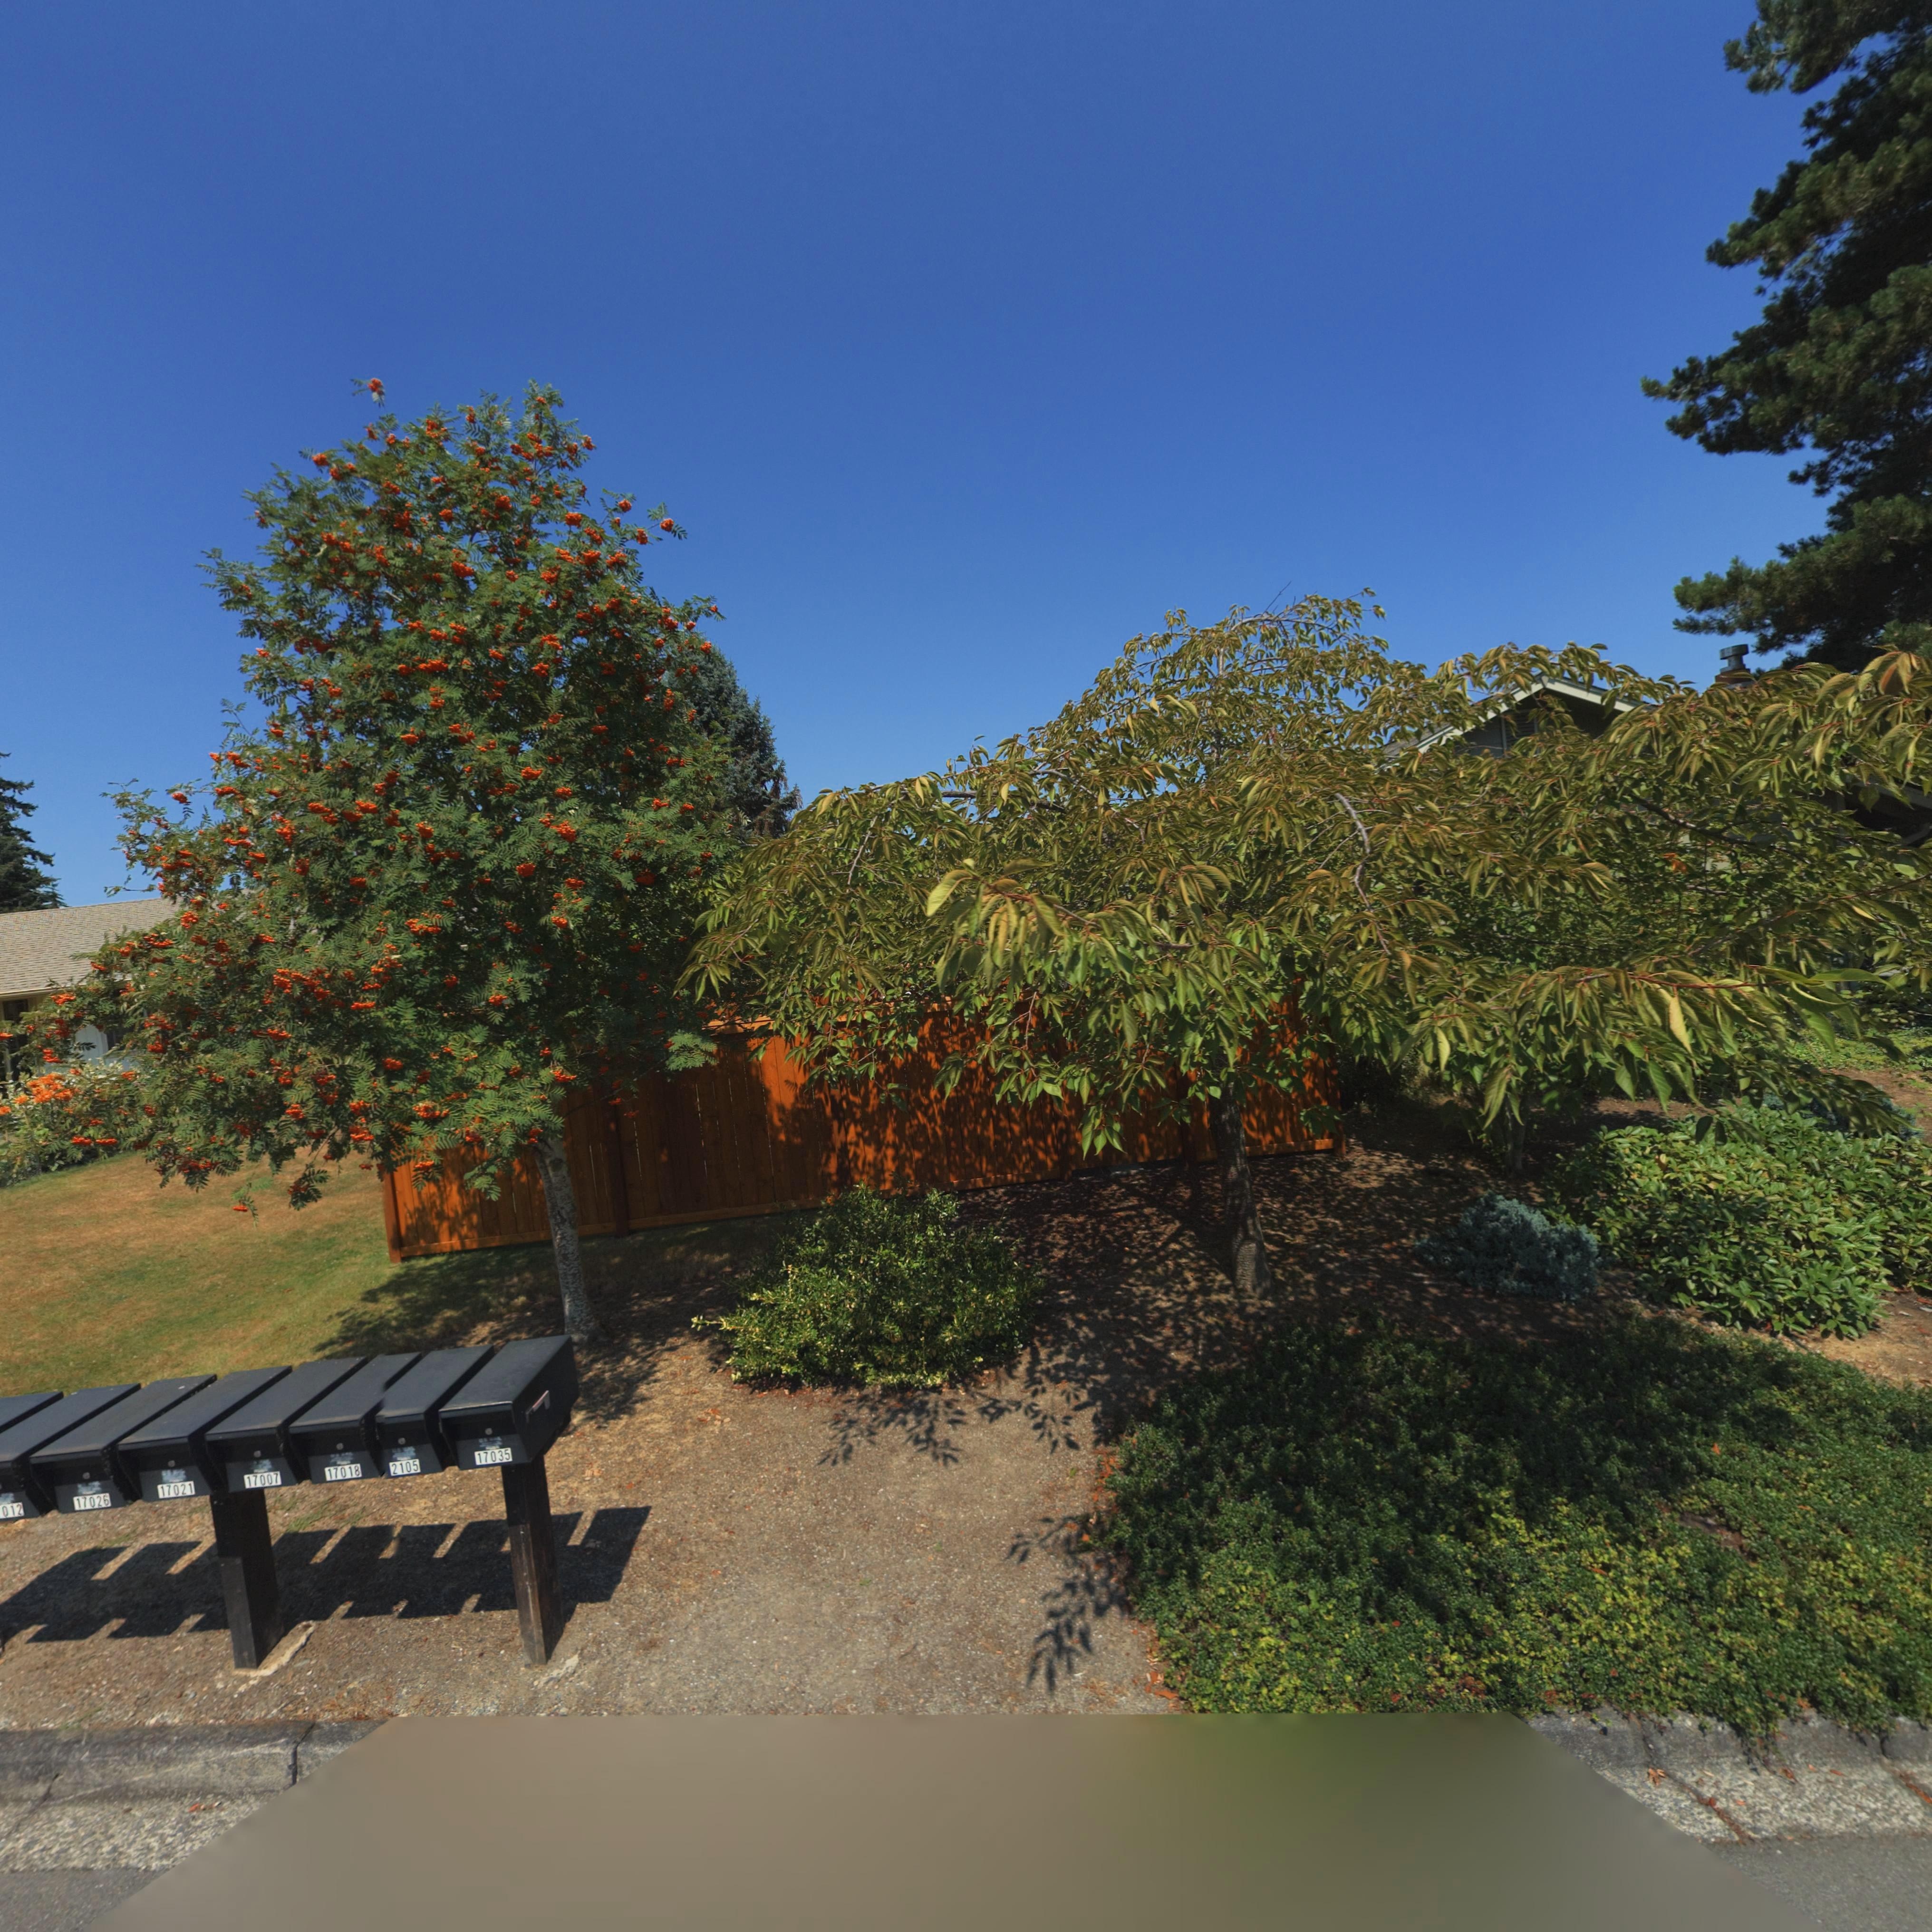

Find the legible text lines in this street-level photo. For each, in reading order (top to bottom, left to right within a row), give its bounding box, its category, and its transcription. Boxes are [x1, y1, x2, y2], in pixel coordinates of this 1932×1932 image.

[476, 1448, 511, 1464] StreetNumber: 17035
[327, 1464, 361, 1479] StreetNumber: 17018
[391, 1459, 419, 1475] StreetNumber: 2105
[246, 1472, 279, 1487] StreetNumber: 17007
[160, 1483, 194, 1497] StreetNumber: 17021
[76, 1493, 109, 1508] StreetNumber: 17026
[0, 1503, 23, 1517] StreetNumber: 012